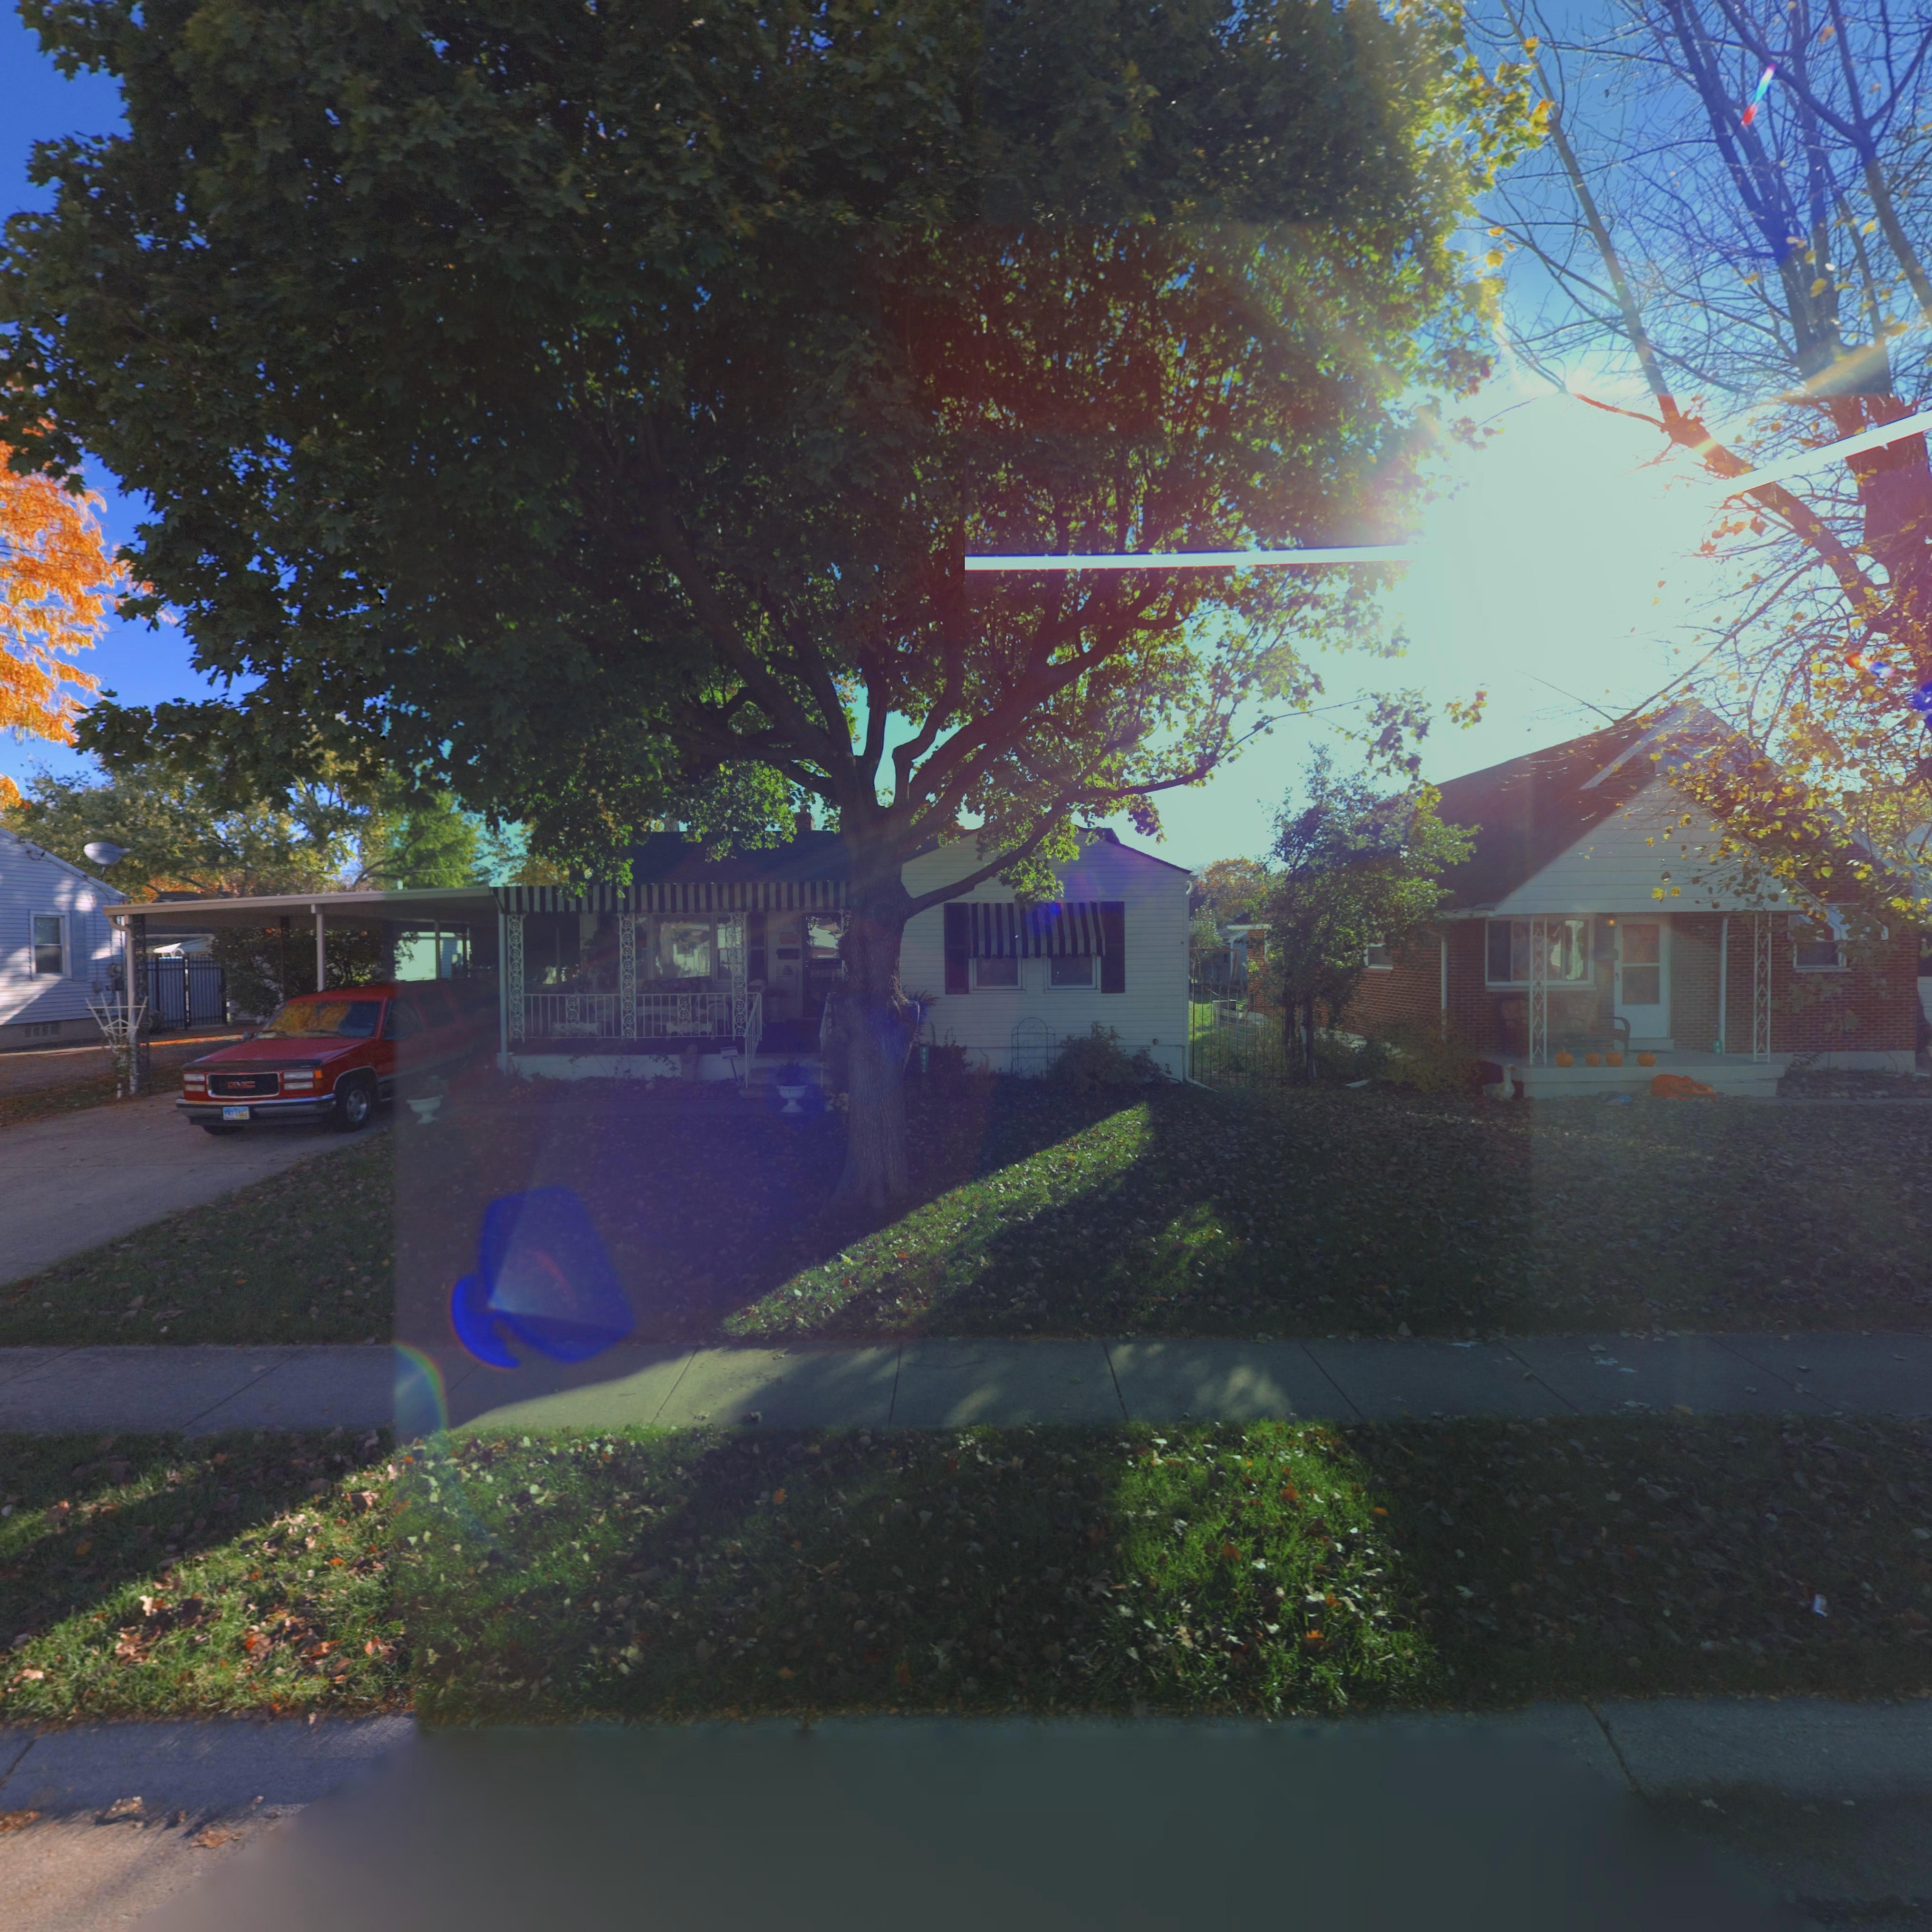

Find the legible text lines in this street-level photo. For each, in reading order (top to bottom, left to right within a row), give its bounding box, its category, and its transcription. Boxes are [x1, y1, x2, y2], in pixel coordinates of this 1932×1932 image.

[921, 1047, 927, 1068] StreetNumber: 492